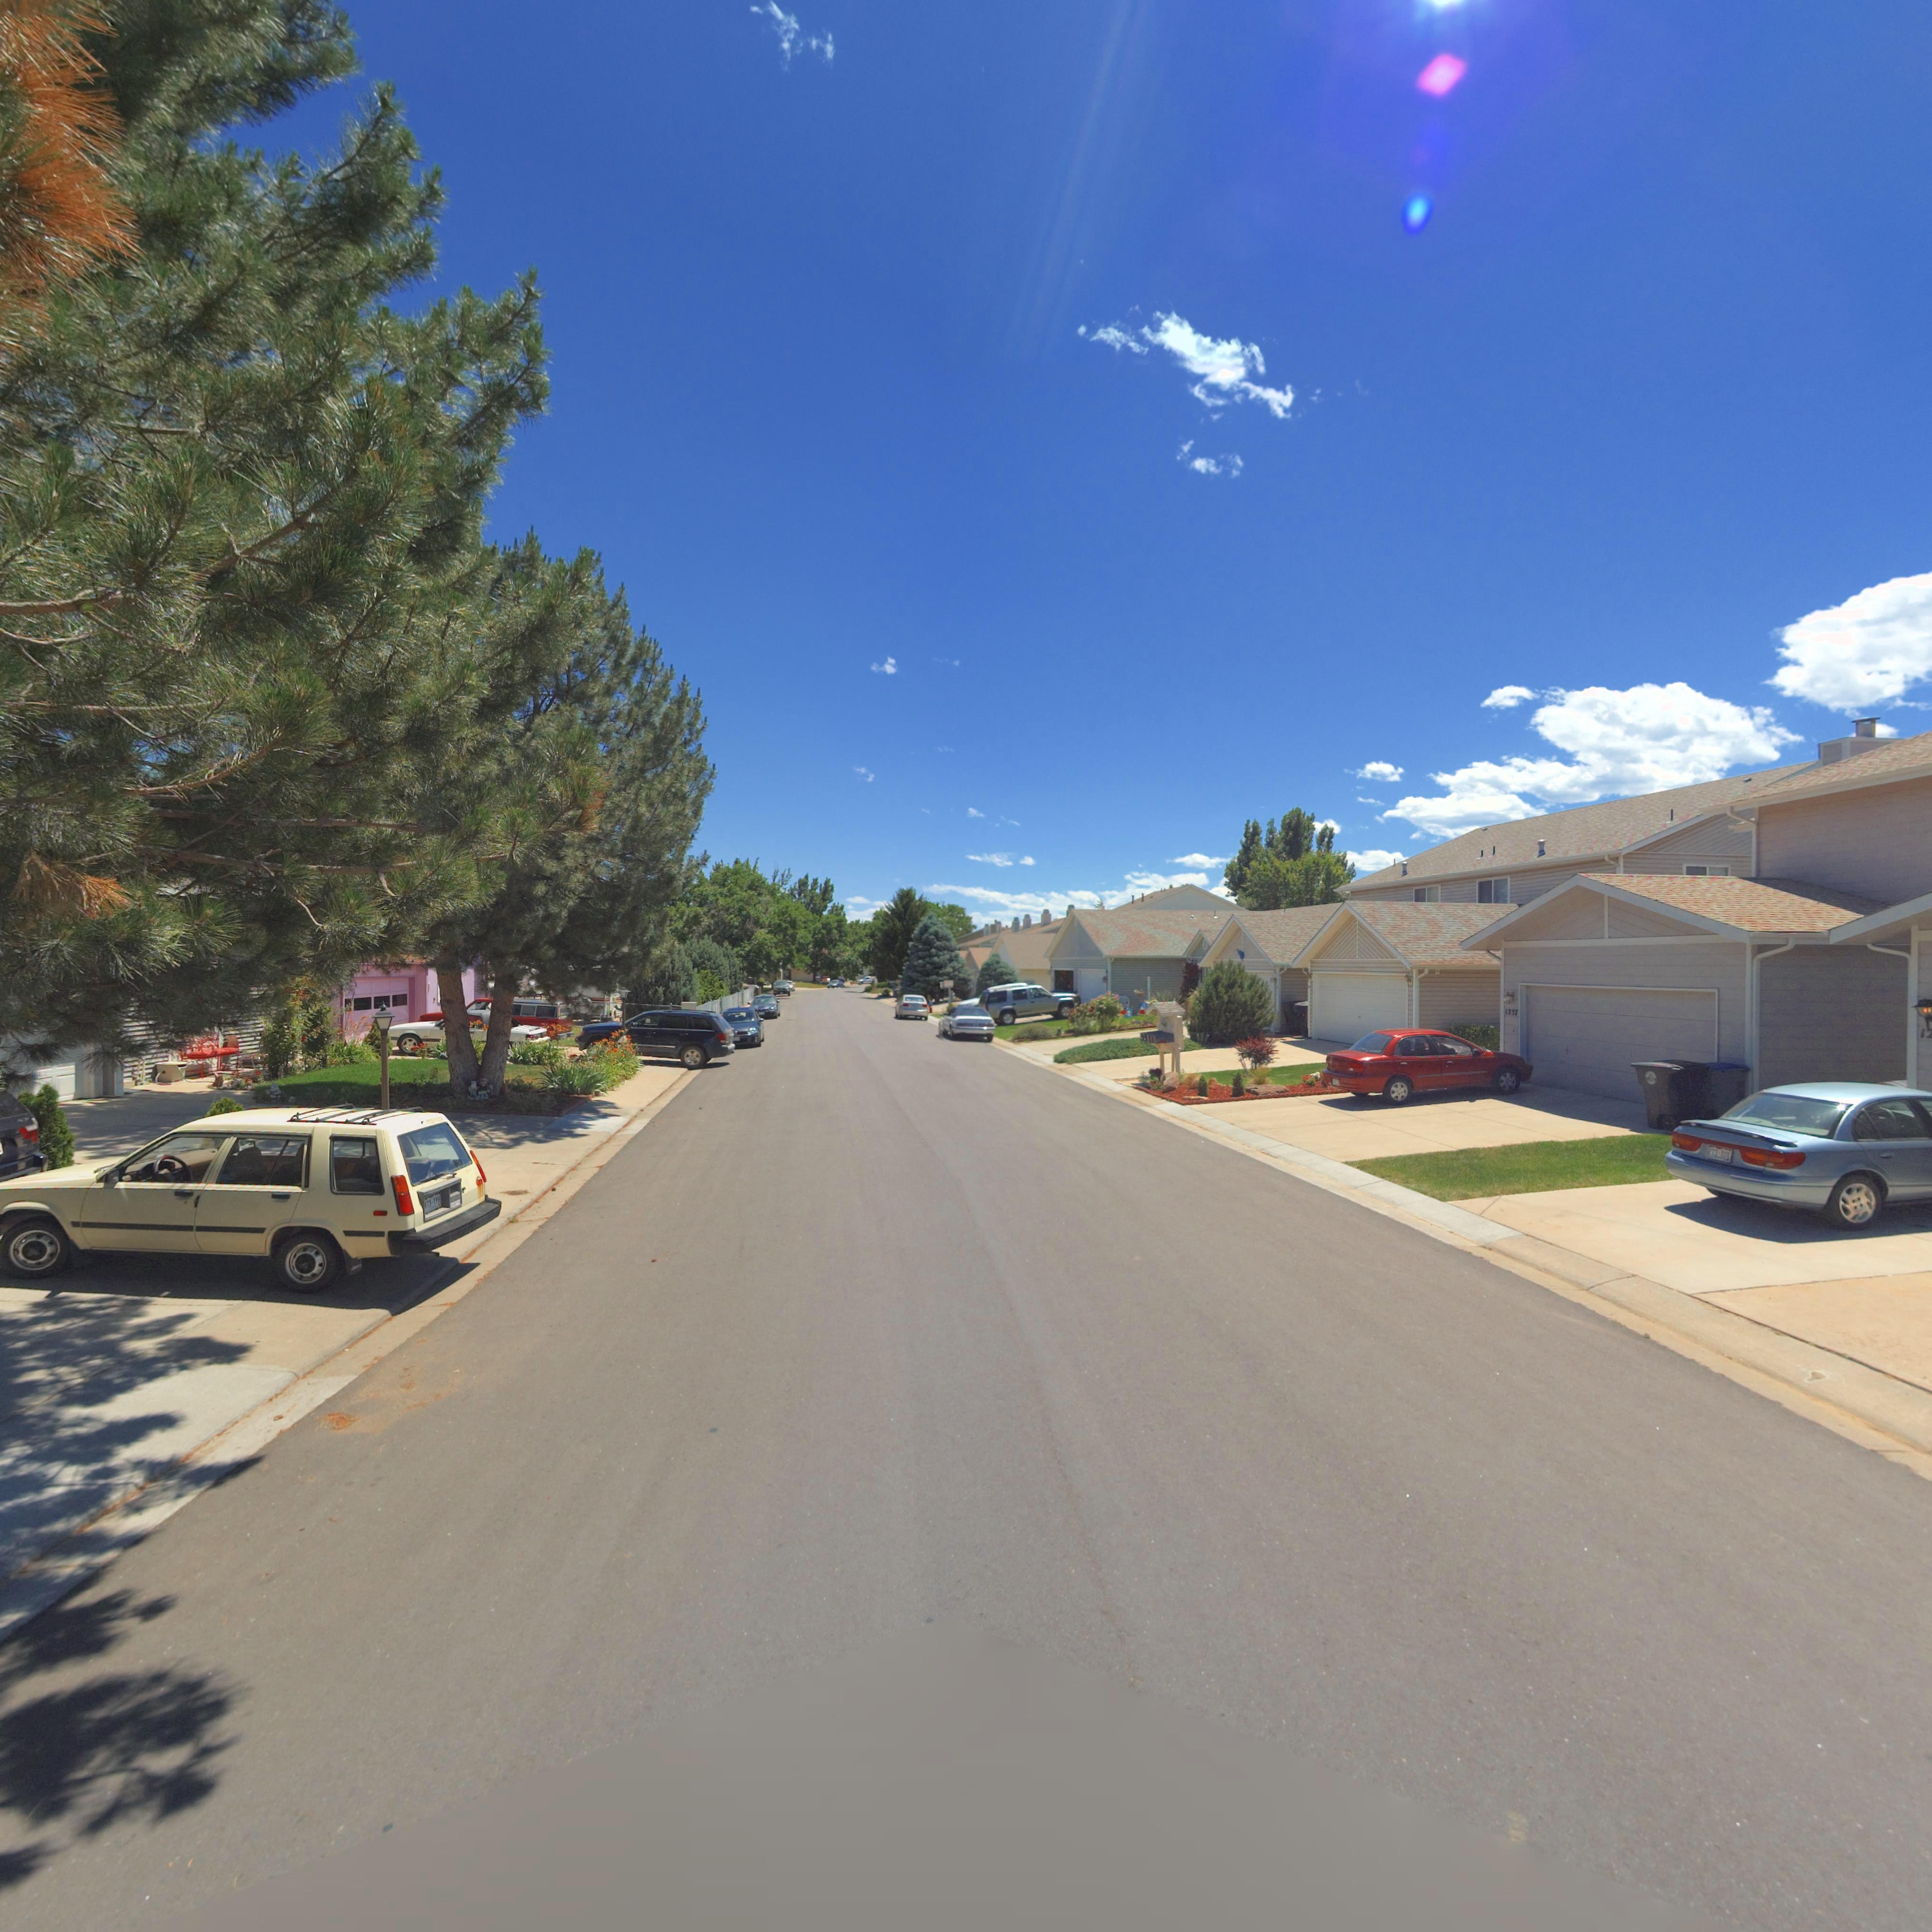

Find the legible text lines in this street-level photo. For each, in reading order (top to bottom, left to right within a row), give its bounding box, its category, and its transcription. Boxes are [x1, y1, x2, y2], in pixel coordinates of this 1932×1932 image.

[1504, 1008, 1519, 1016] StreetNumber: 1237
[1919, 1028, 1926, 1039] StreetNumber: 1